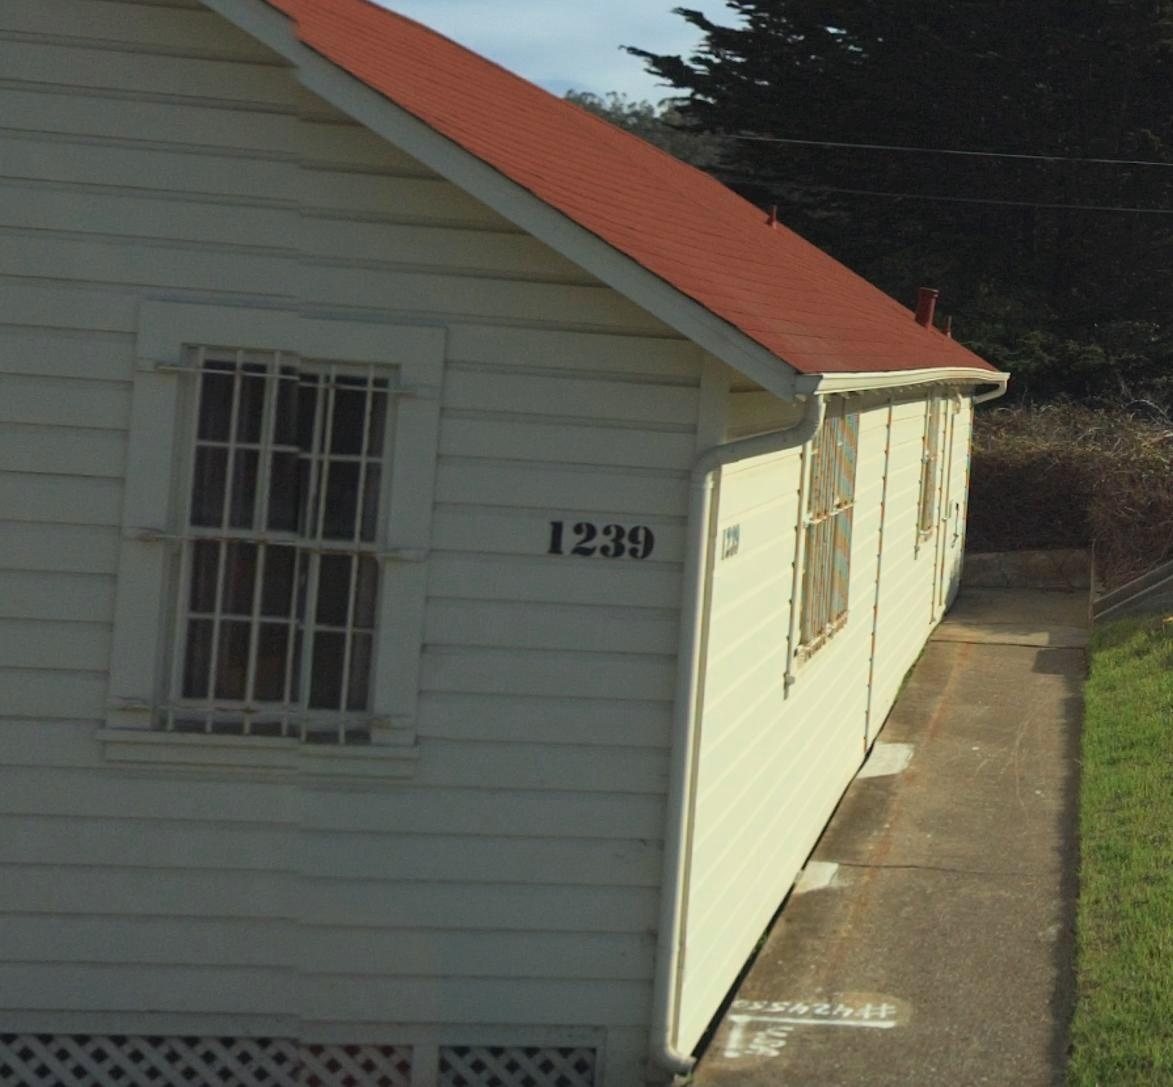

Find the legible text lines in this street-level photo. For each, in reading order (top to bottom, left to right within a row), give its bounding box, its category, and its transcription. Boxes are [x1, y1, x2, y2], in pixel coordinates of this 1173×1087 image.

[544, 516, 657, 563] StreetNumber: 1239